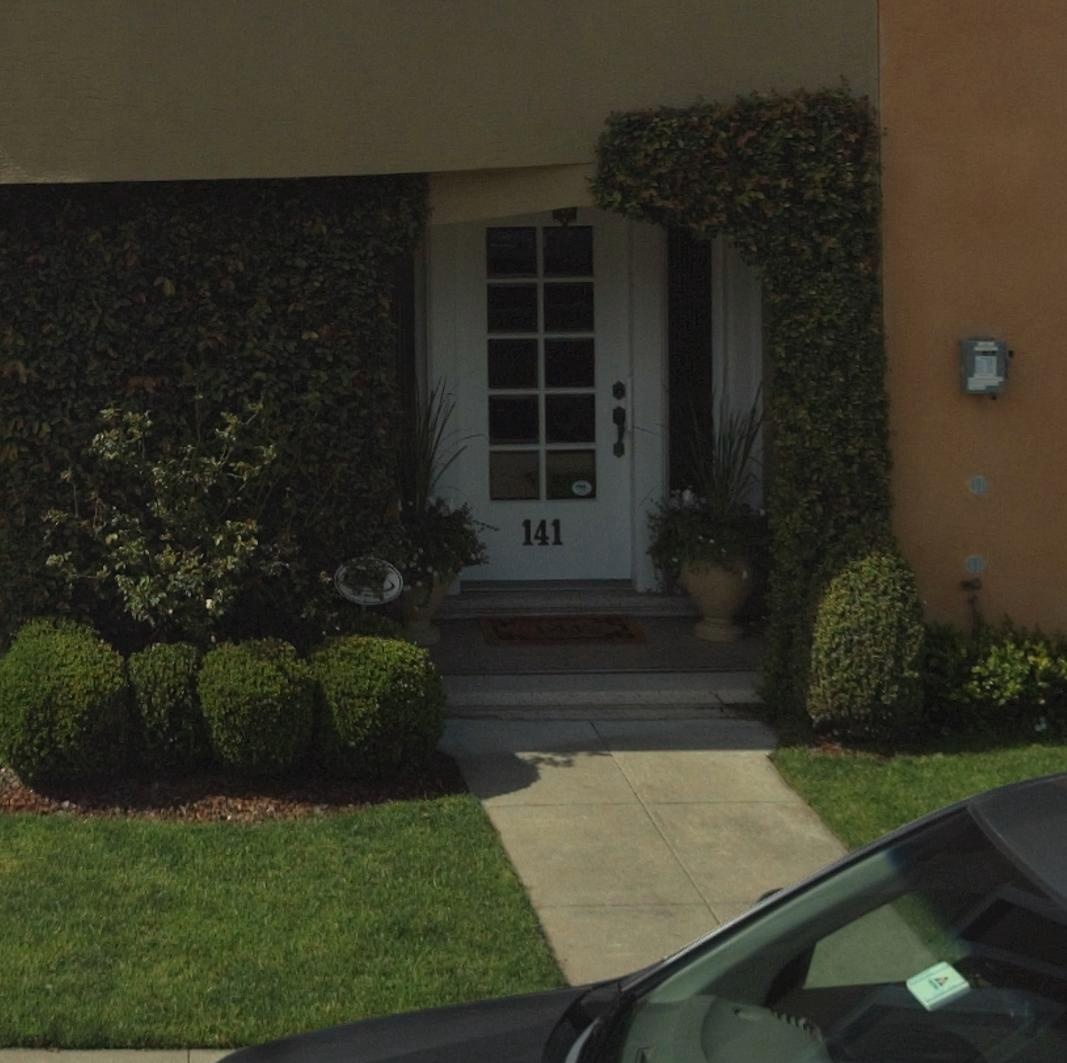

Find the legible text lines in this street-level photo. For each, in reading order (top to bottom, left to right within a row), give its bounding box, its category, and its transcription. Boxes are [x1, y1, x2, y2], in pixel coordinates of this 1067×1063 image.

[519, 516, 566, 548] StreetNumber: 141